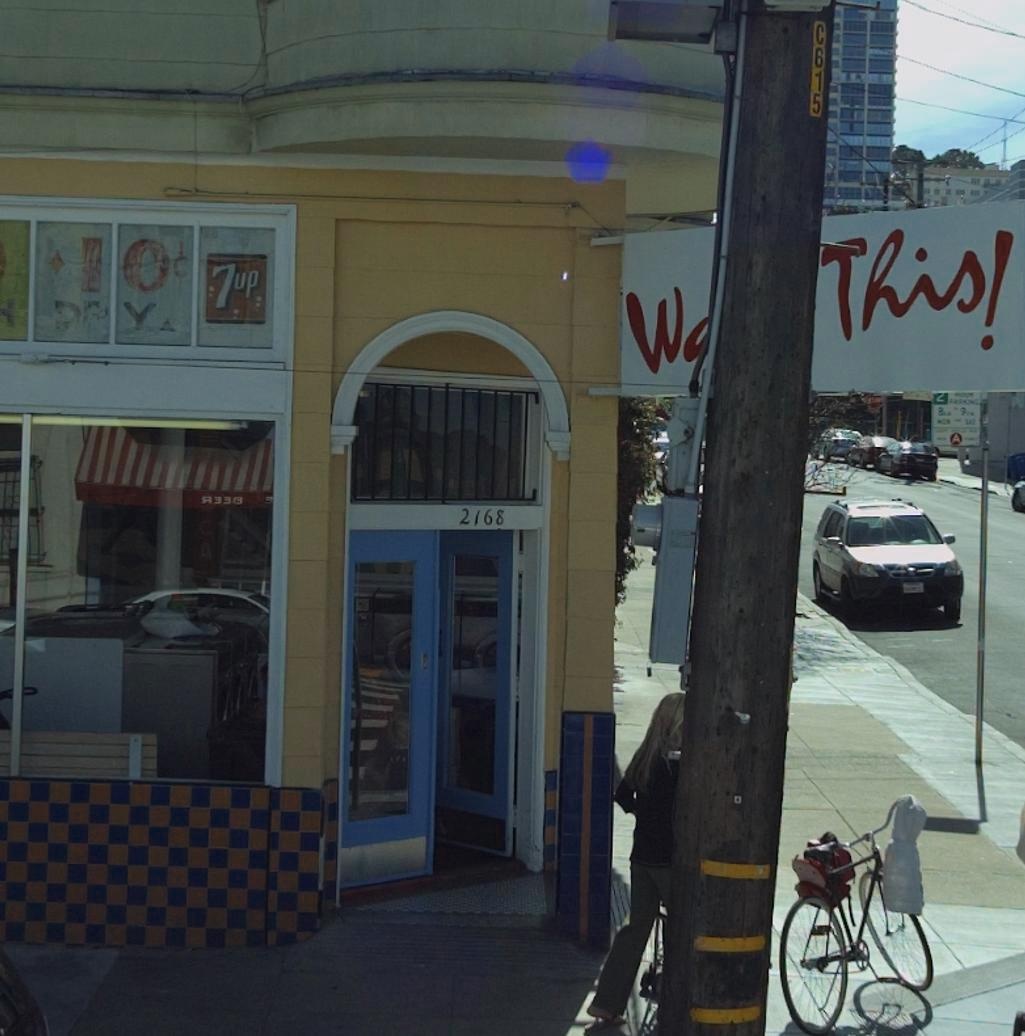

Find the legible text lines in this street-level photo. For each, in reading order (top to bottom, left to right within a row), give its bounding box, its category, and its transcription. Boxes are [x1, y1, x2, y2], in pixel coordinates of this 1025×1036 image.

[811, 22, 826, 117] None: C615
[210, 261, 259, 310] None: 7UP
[622, 226, 1016, 380] BusinessName: W***This!
[949, 432, 963, 444] None: A
[457, 506, 505, 528] StreetNumber: 2168